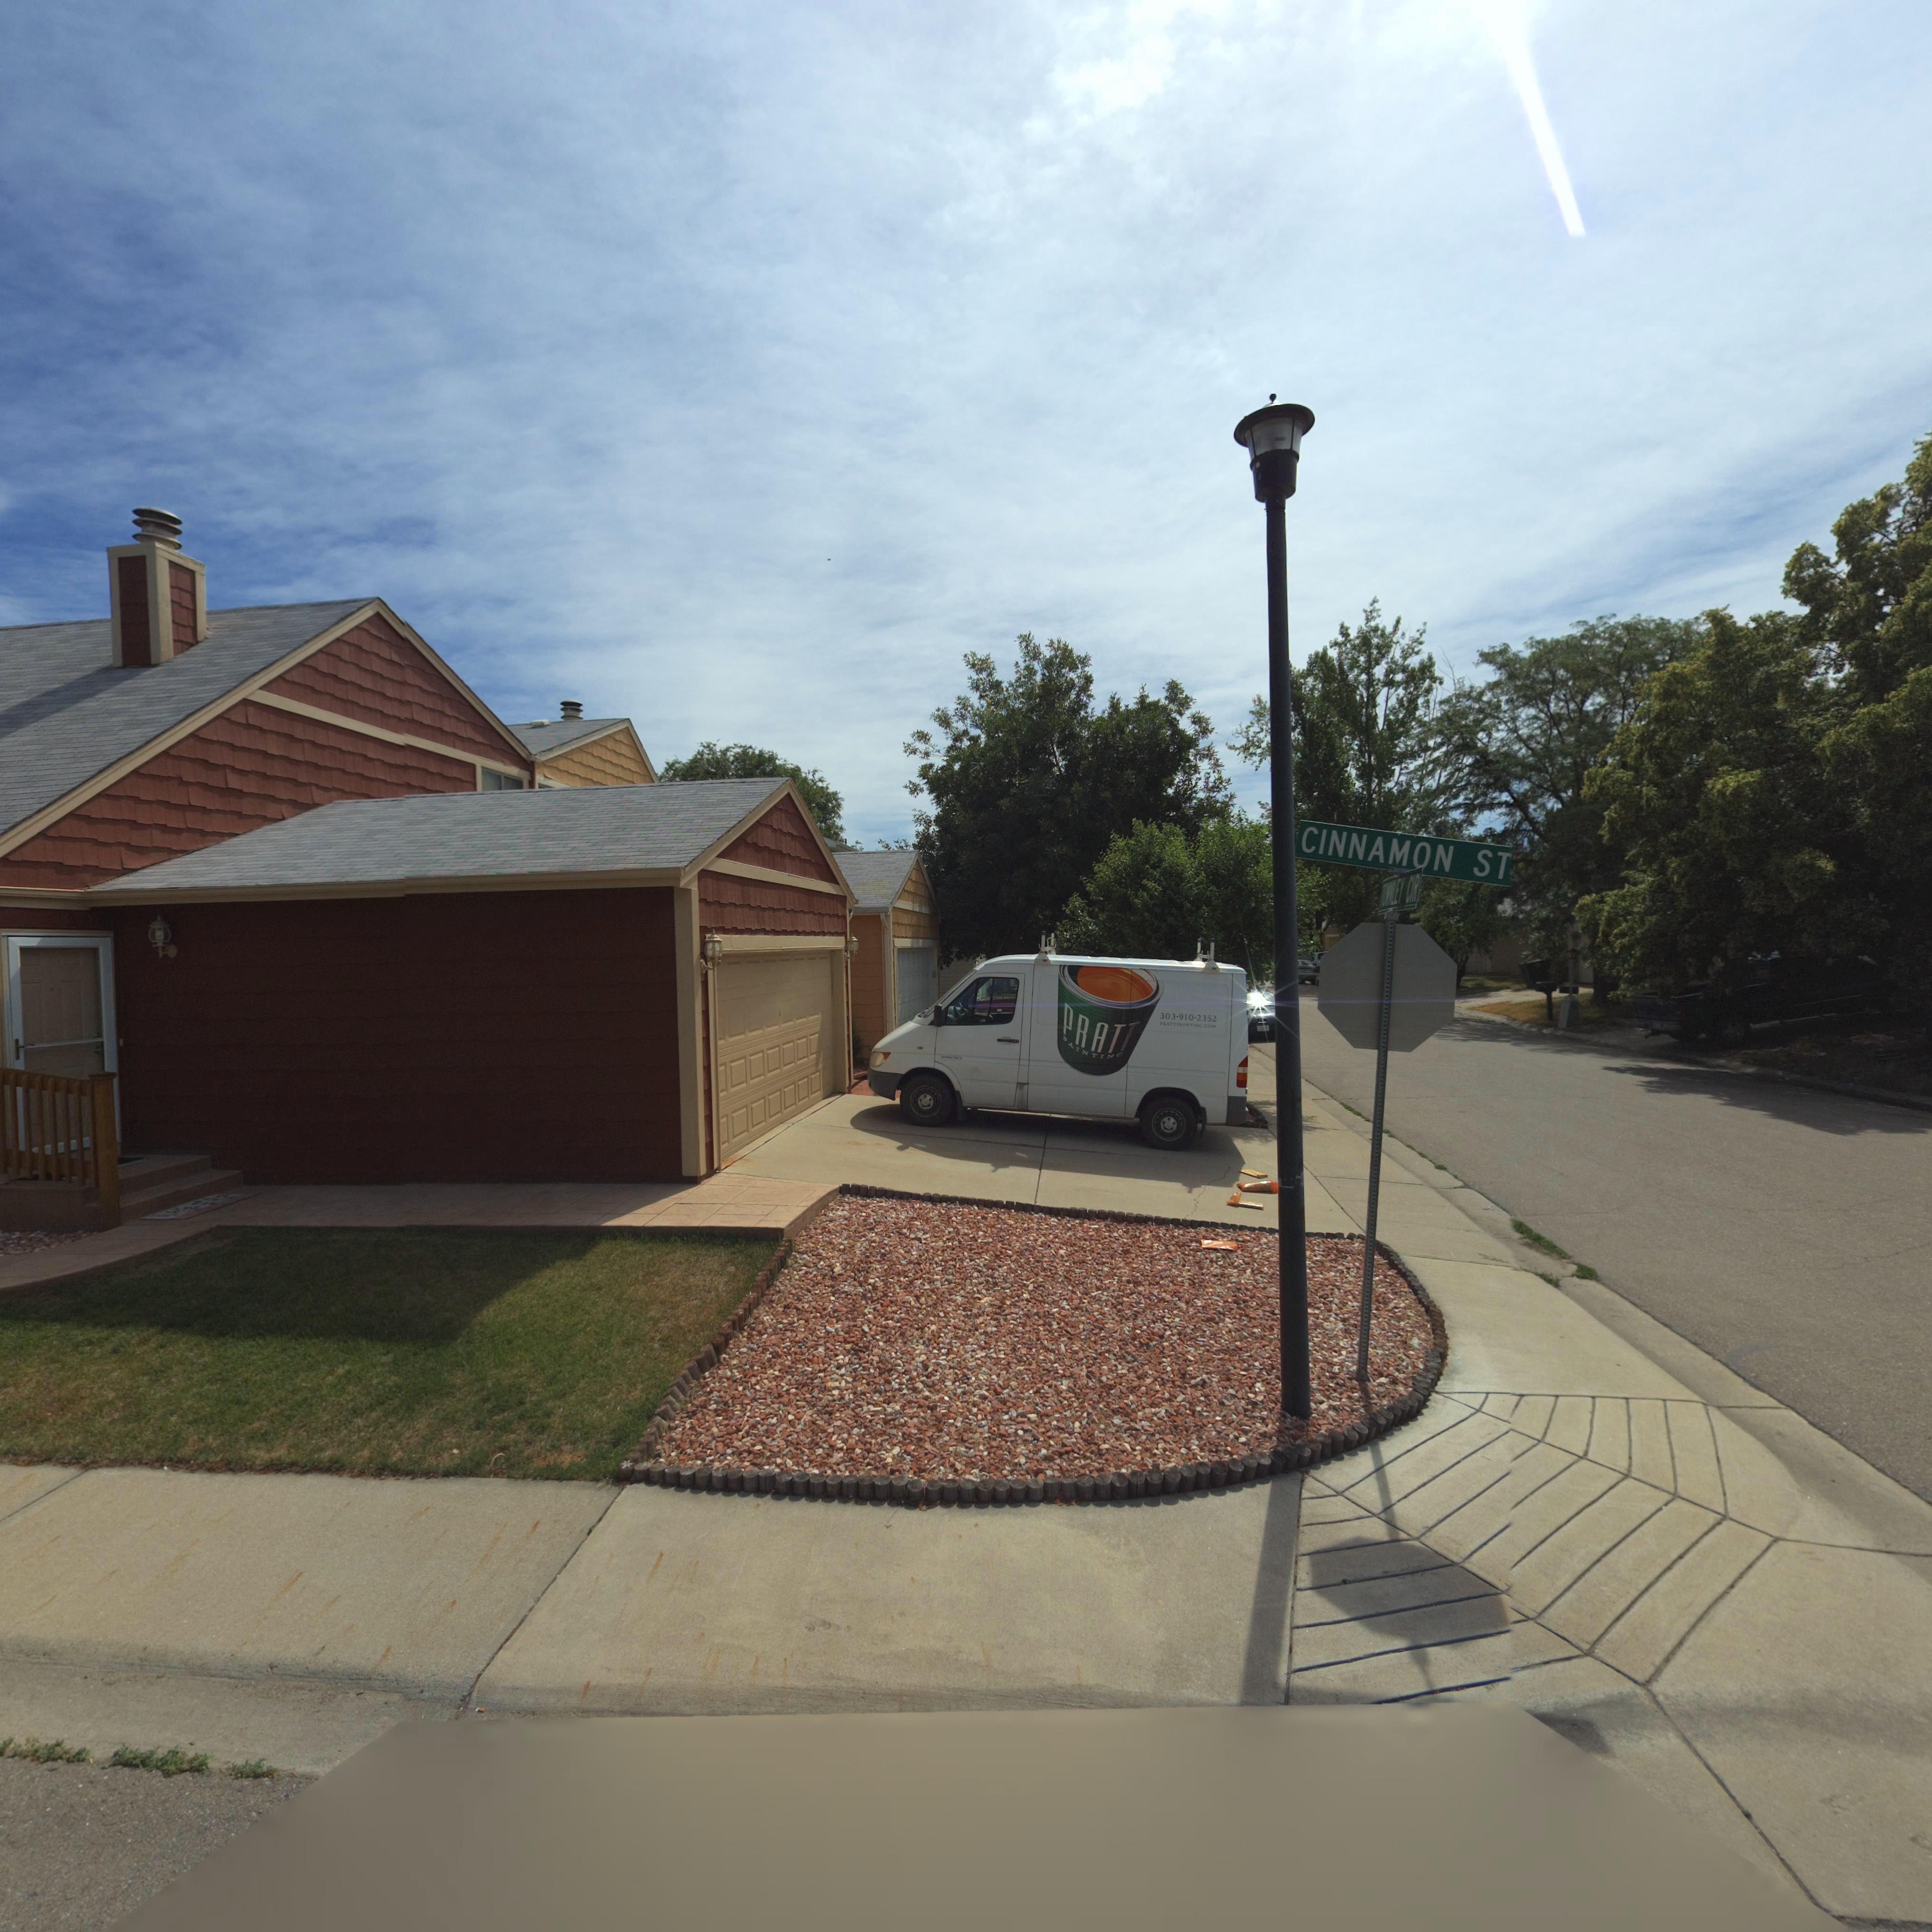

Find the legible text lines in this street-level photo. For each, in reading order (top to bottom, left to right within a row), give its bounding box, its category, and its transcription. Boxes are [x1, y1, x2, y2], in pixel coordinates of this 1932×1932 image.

[1301, 825, 1513, 880] StreetName: CINNAMON ST
[1379, 873, 1420, 908] StreetName: ****LEY CIR